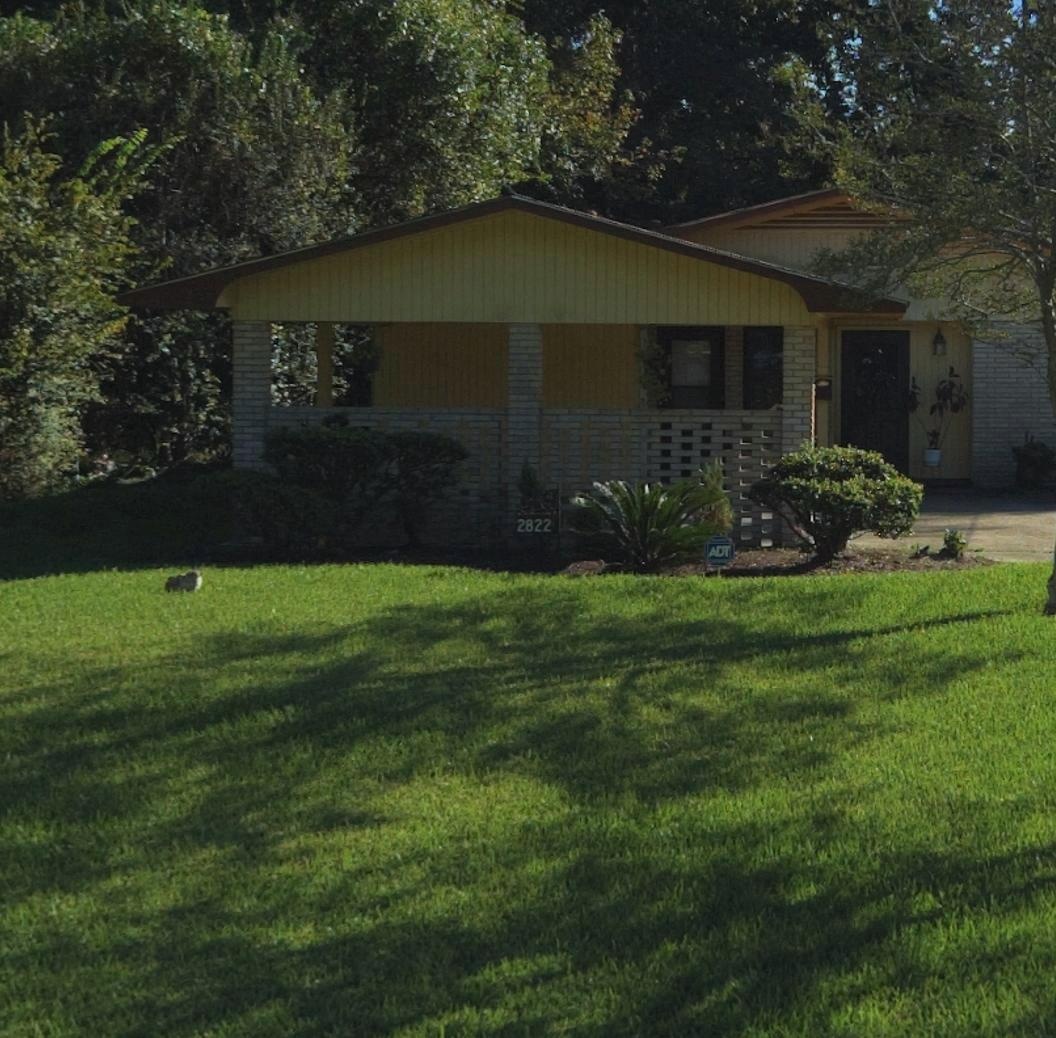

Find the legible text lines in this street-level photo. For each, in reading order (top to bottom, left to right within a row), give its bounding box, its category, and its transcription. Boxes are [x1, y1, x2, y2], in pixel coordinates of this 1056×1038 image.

[516, 517, 553, 533] StreetNumber: 2822
[706, 544, 732, 558] None: ADT